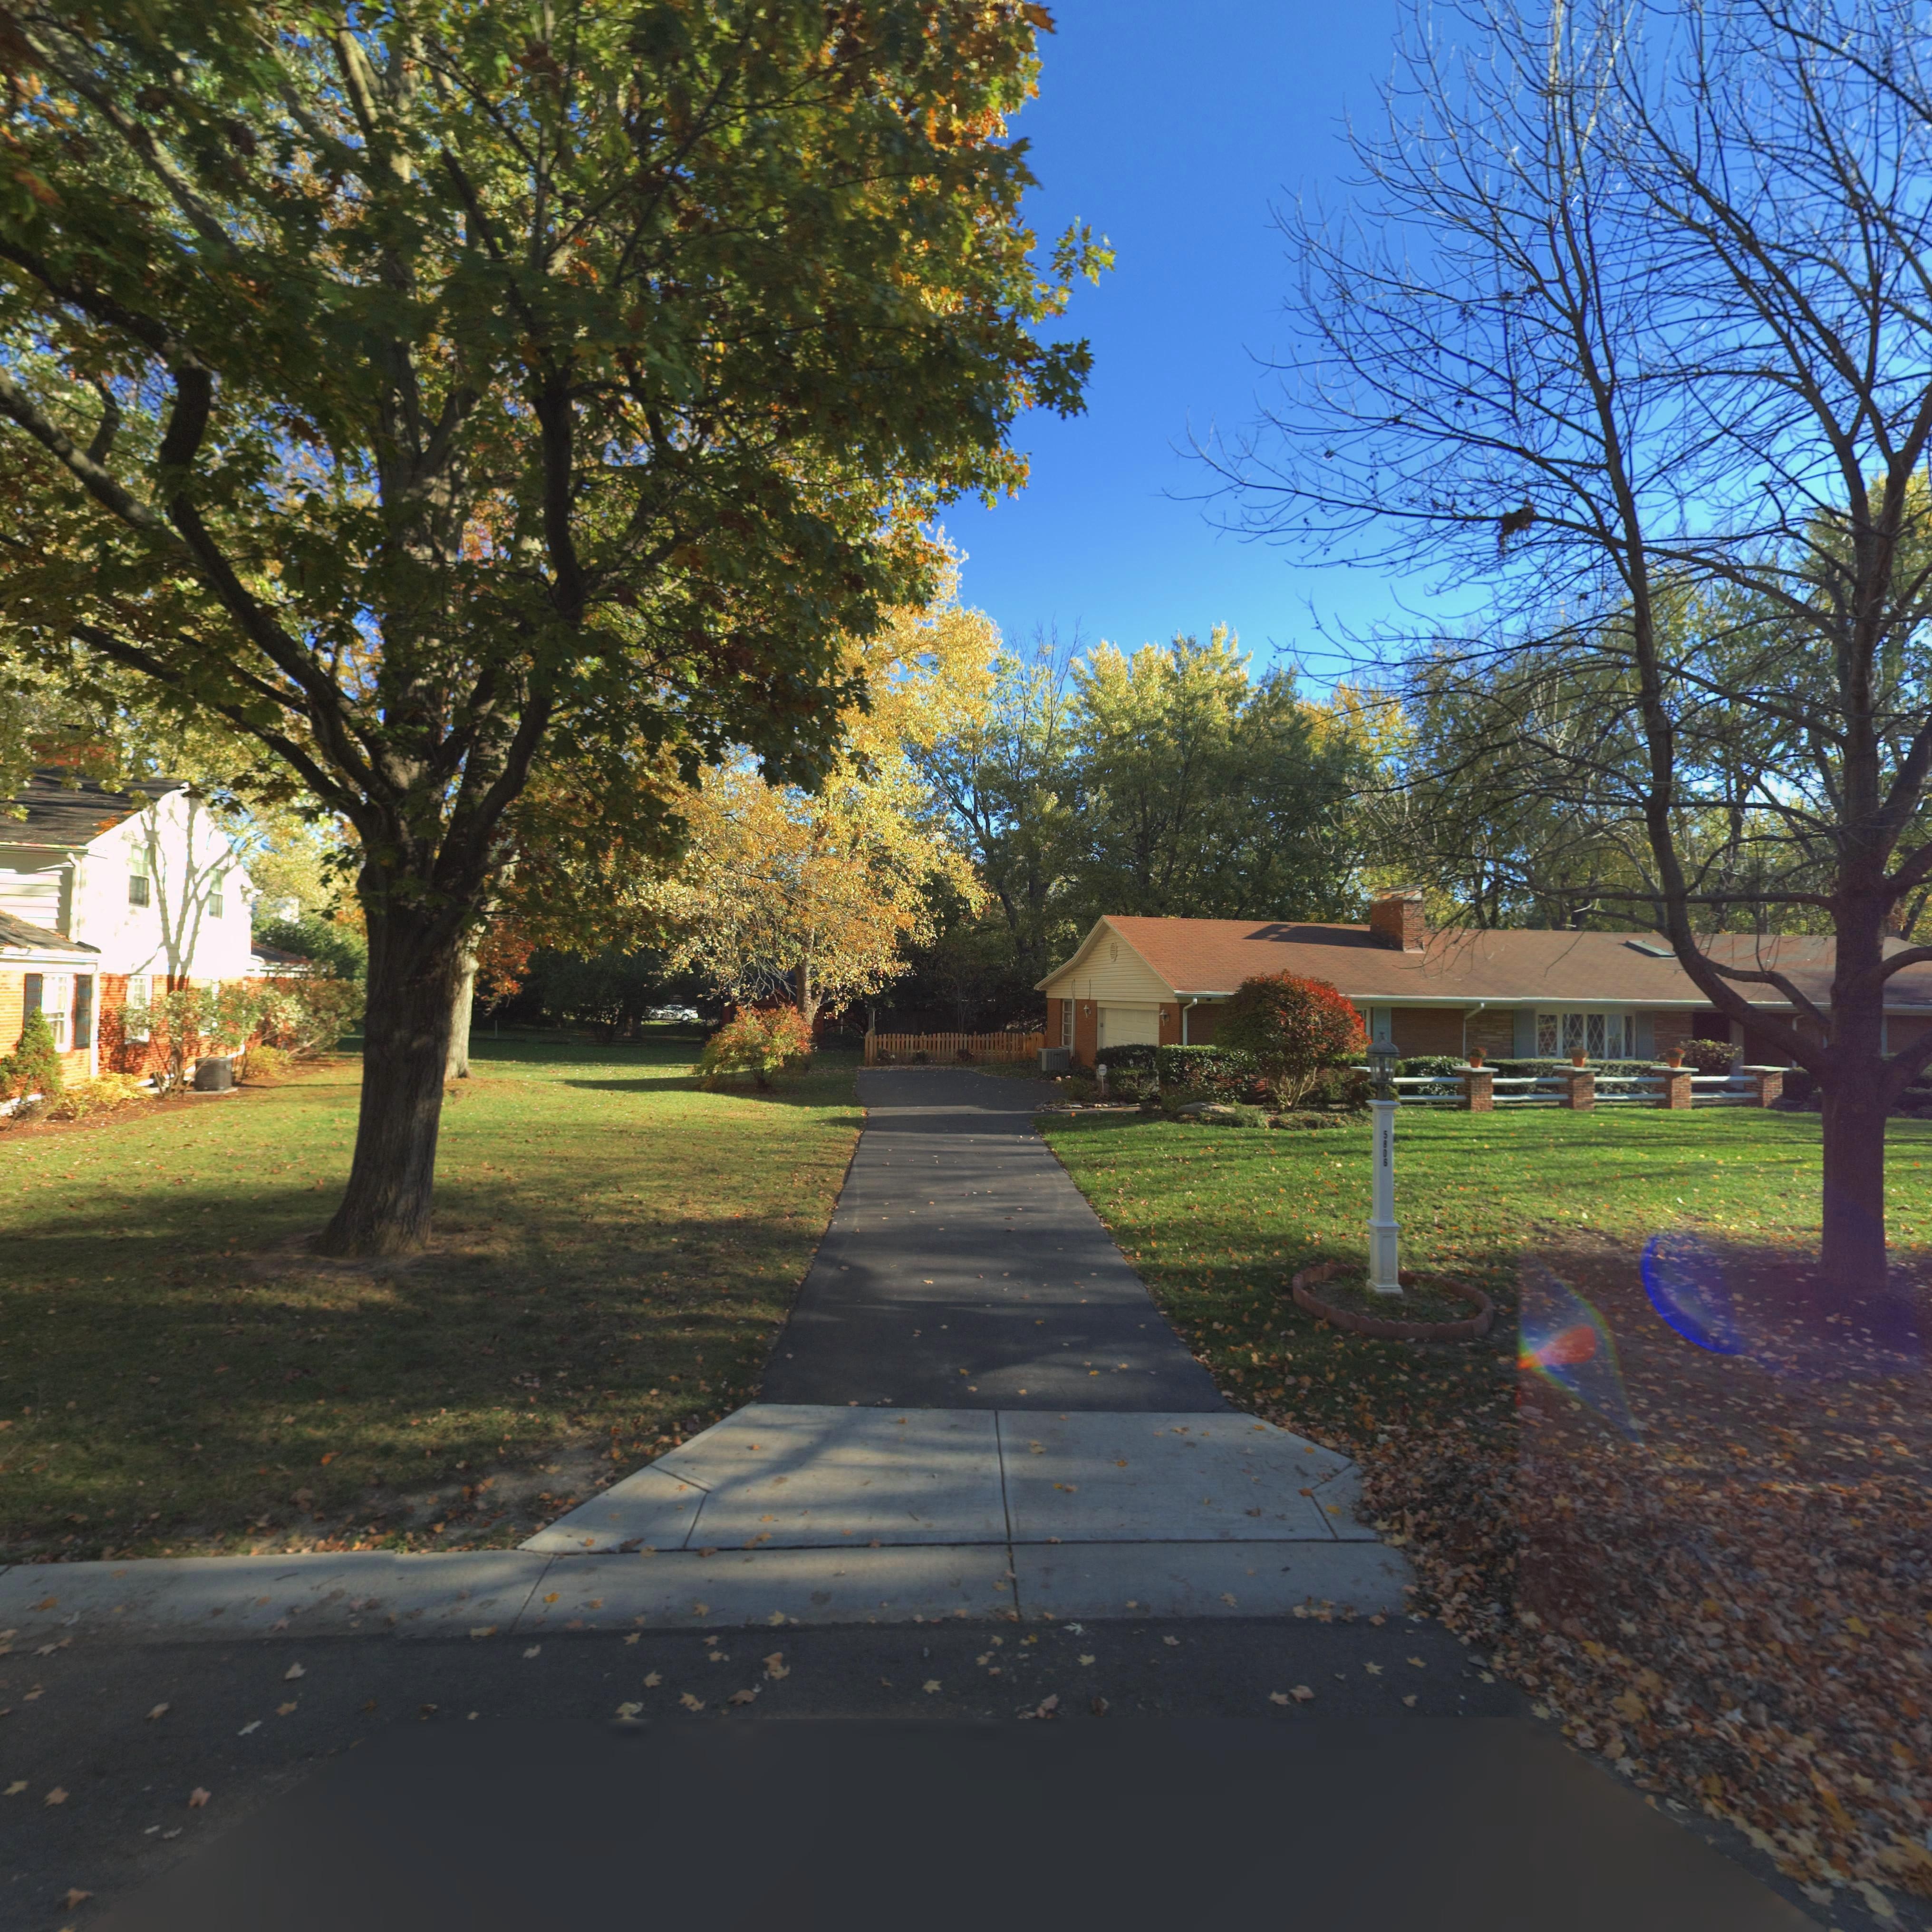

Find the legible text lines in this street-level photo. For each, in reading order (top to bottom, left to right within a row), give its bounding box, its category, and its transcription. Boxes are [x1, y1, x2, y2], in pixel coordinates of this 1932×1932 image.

[1382, 1129, 1388, 1167] StreetNumber: 5806